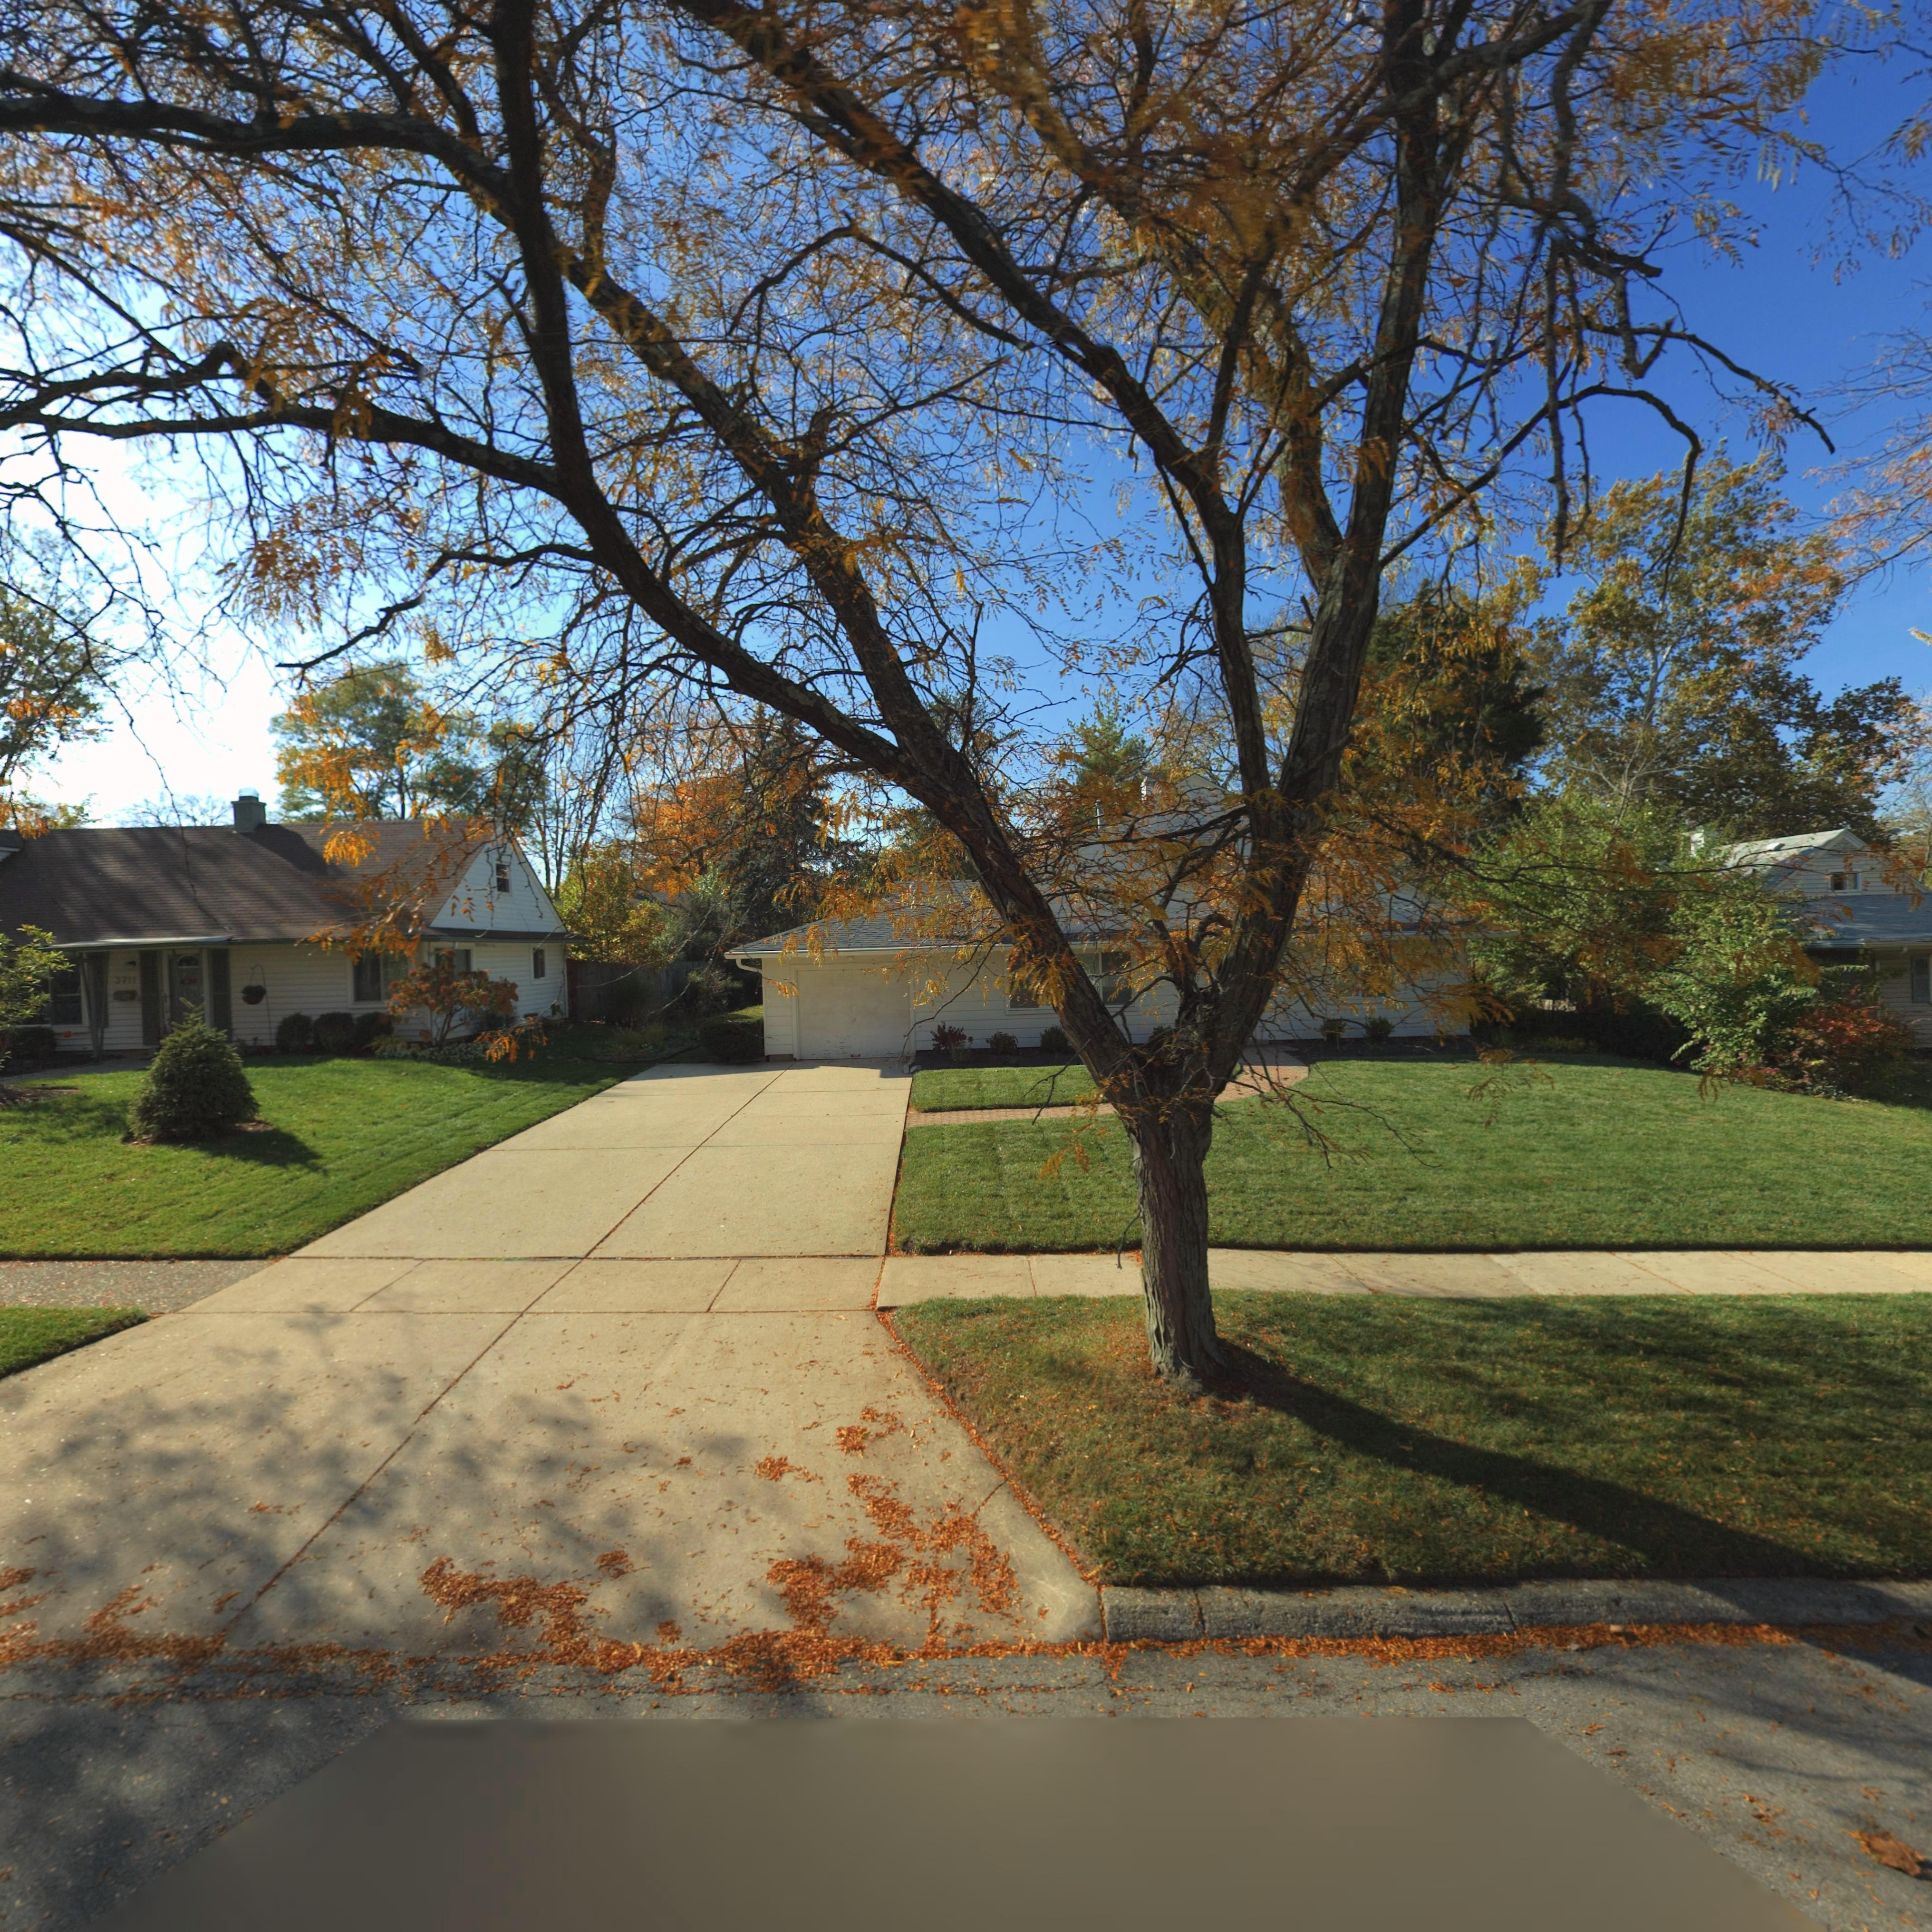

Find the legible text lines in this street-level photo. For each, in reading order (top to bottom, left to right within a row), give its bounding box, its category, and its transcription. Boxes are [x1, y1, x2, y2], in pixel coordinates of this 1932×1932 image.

[114, 976, 137, 985] StreetNumber: 3711